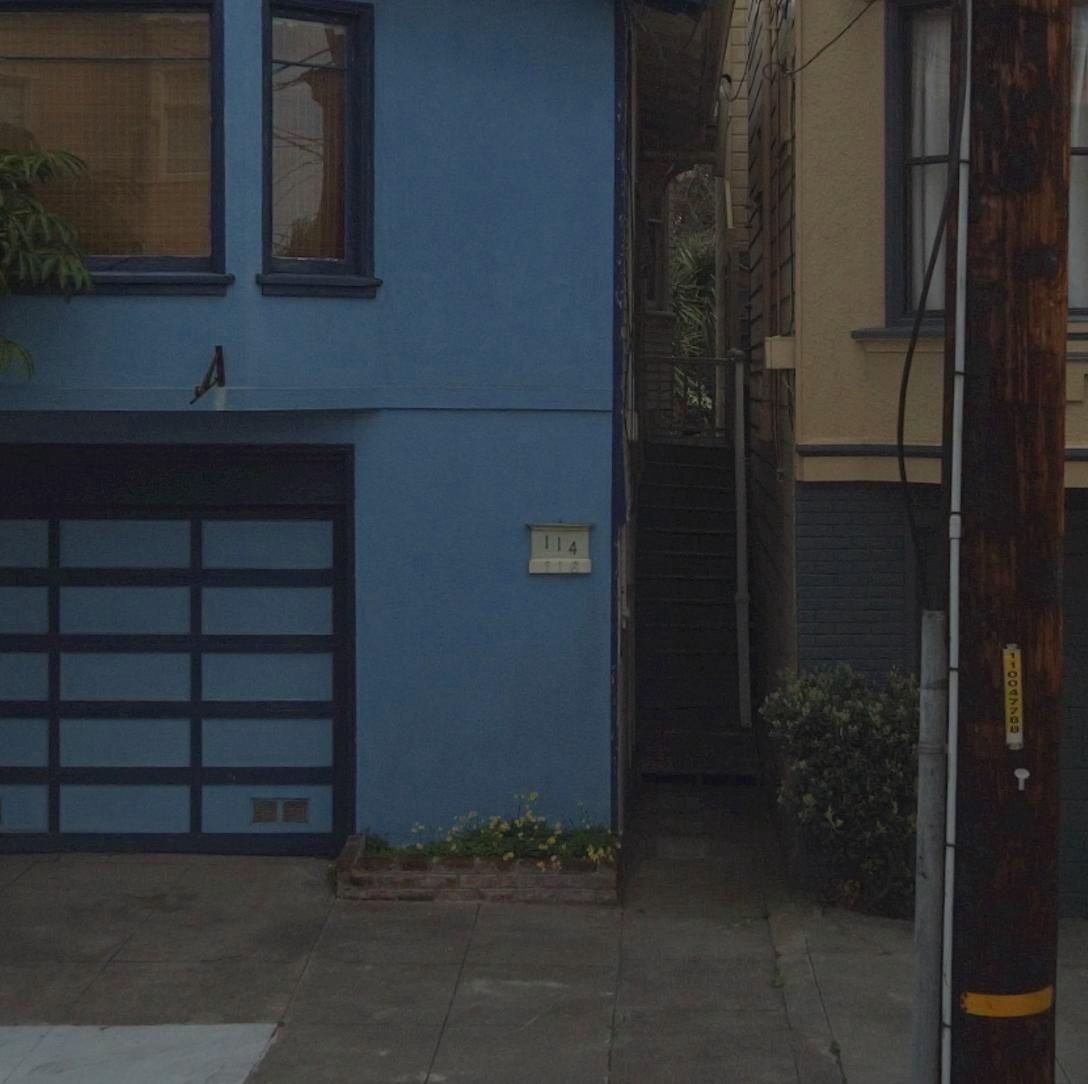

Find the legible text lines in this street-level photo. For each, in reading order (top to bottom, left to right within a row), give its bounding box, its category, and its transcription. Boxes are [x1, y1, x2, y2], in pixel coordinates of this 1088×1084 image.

[543, 533, 580, 556] StreetNumber: 114
[542, 560, 579, 574] StreetNumber: 116
[1004, 647, 1023, 736] None: 110047788